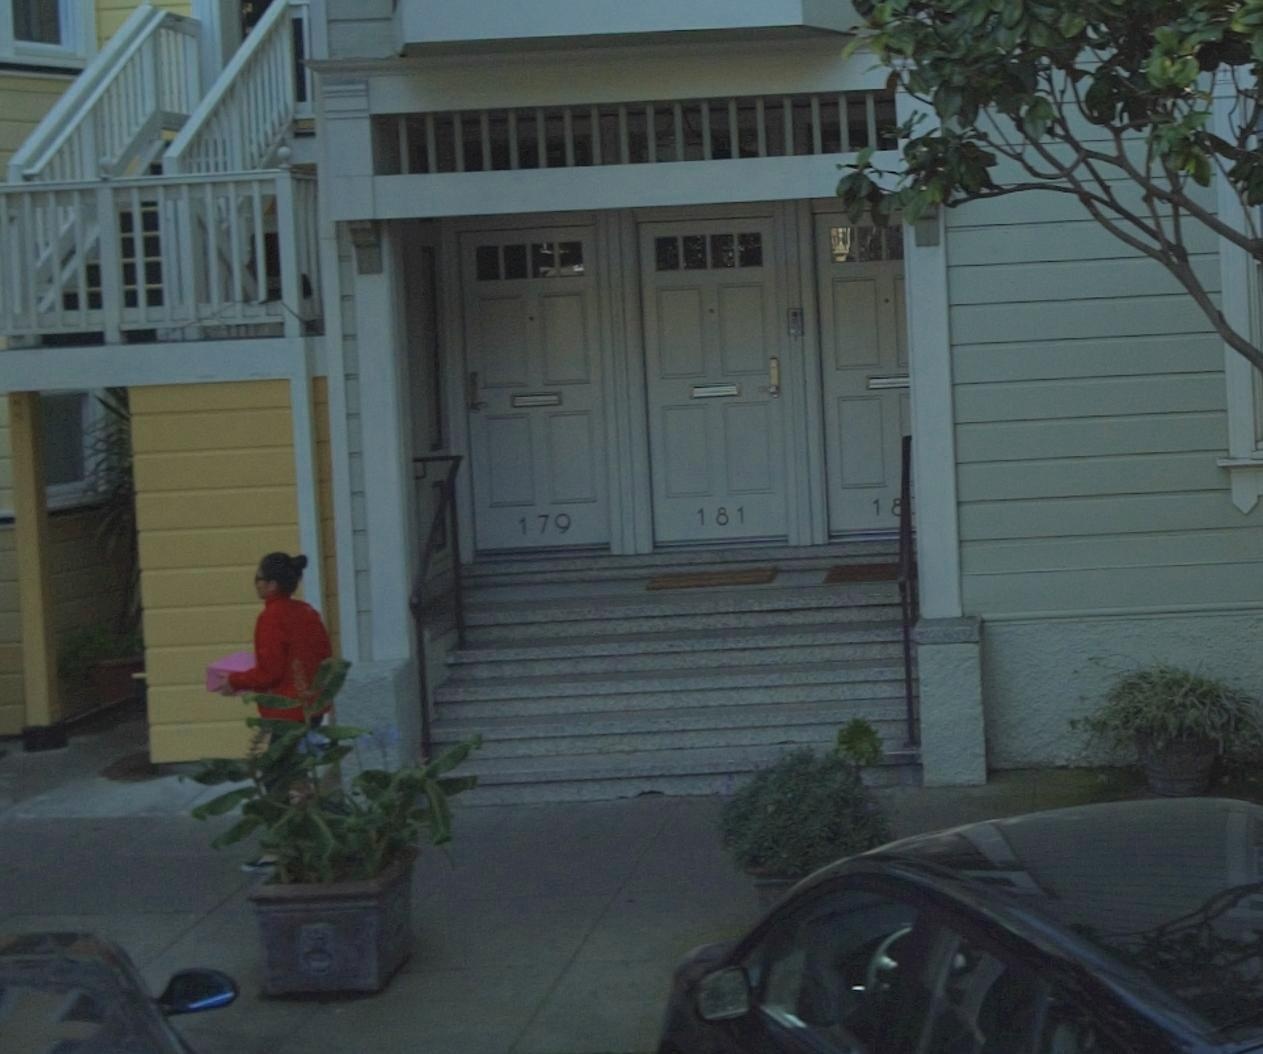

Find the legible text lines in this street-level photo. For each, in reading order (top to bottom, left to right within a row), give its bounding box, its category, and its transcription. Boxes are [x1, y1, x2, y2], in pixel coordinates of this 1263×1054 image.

[518, 511, 572, 537] StreetNumber: 179
[695, 505, 746, 529] StreetNumber: 181
[870, 497, 881, 519] StreetNumber: 1